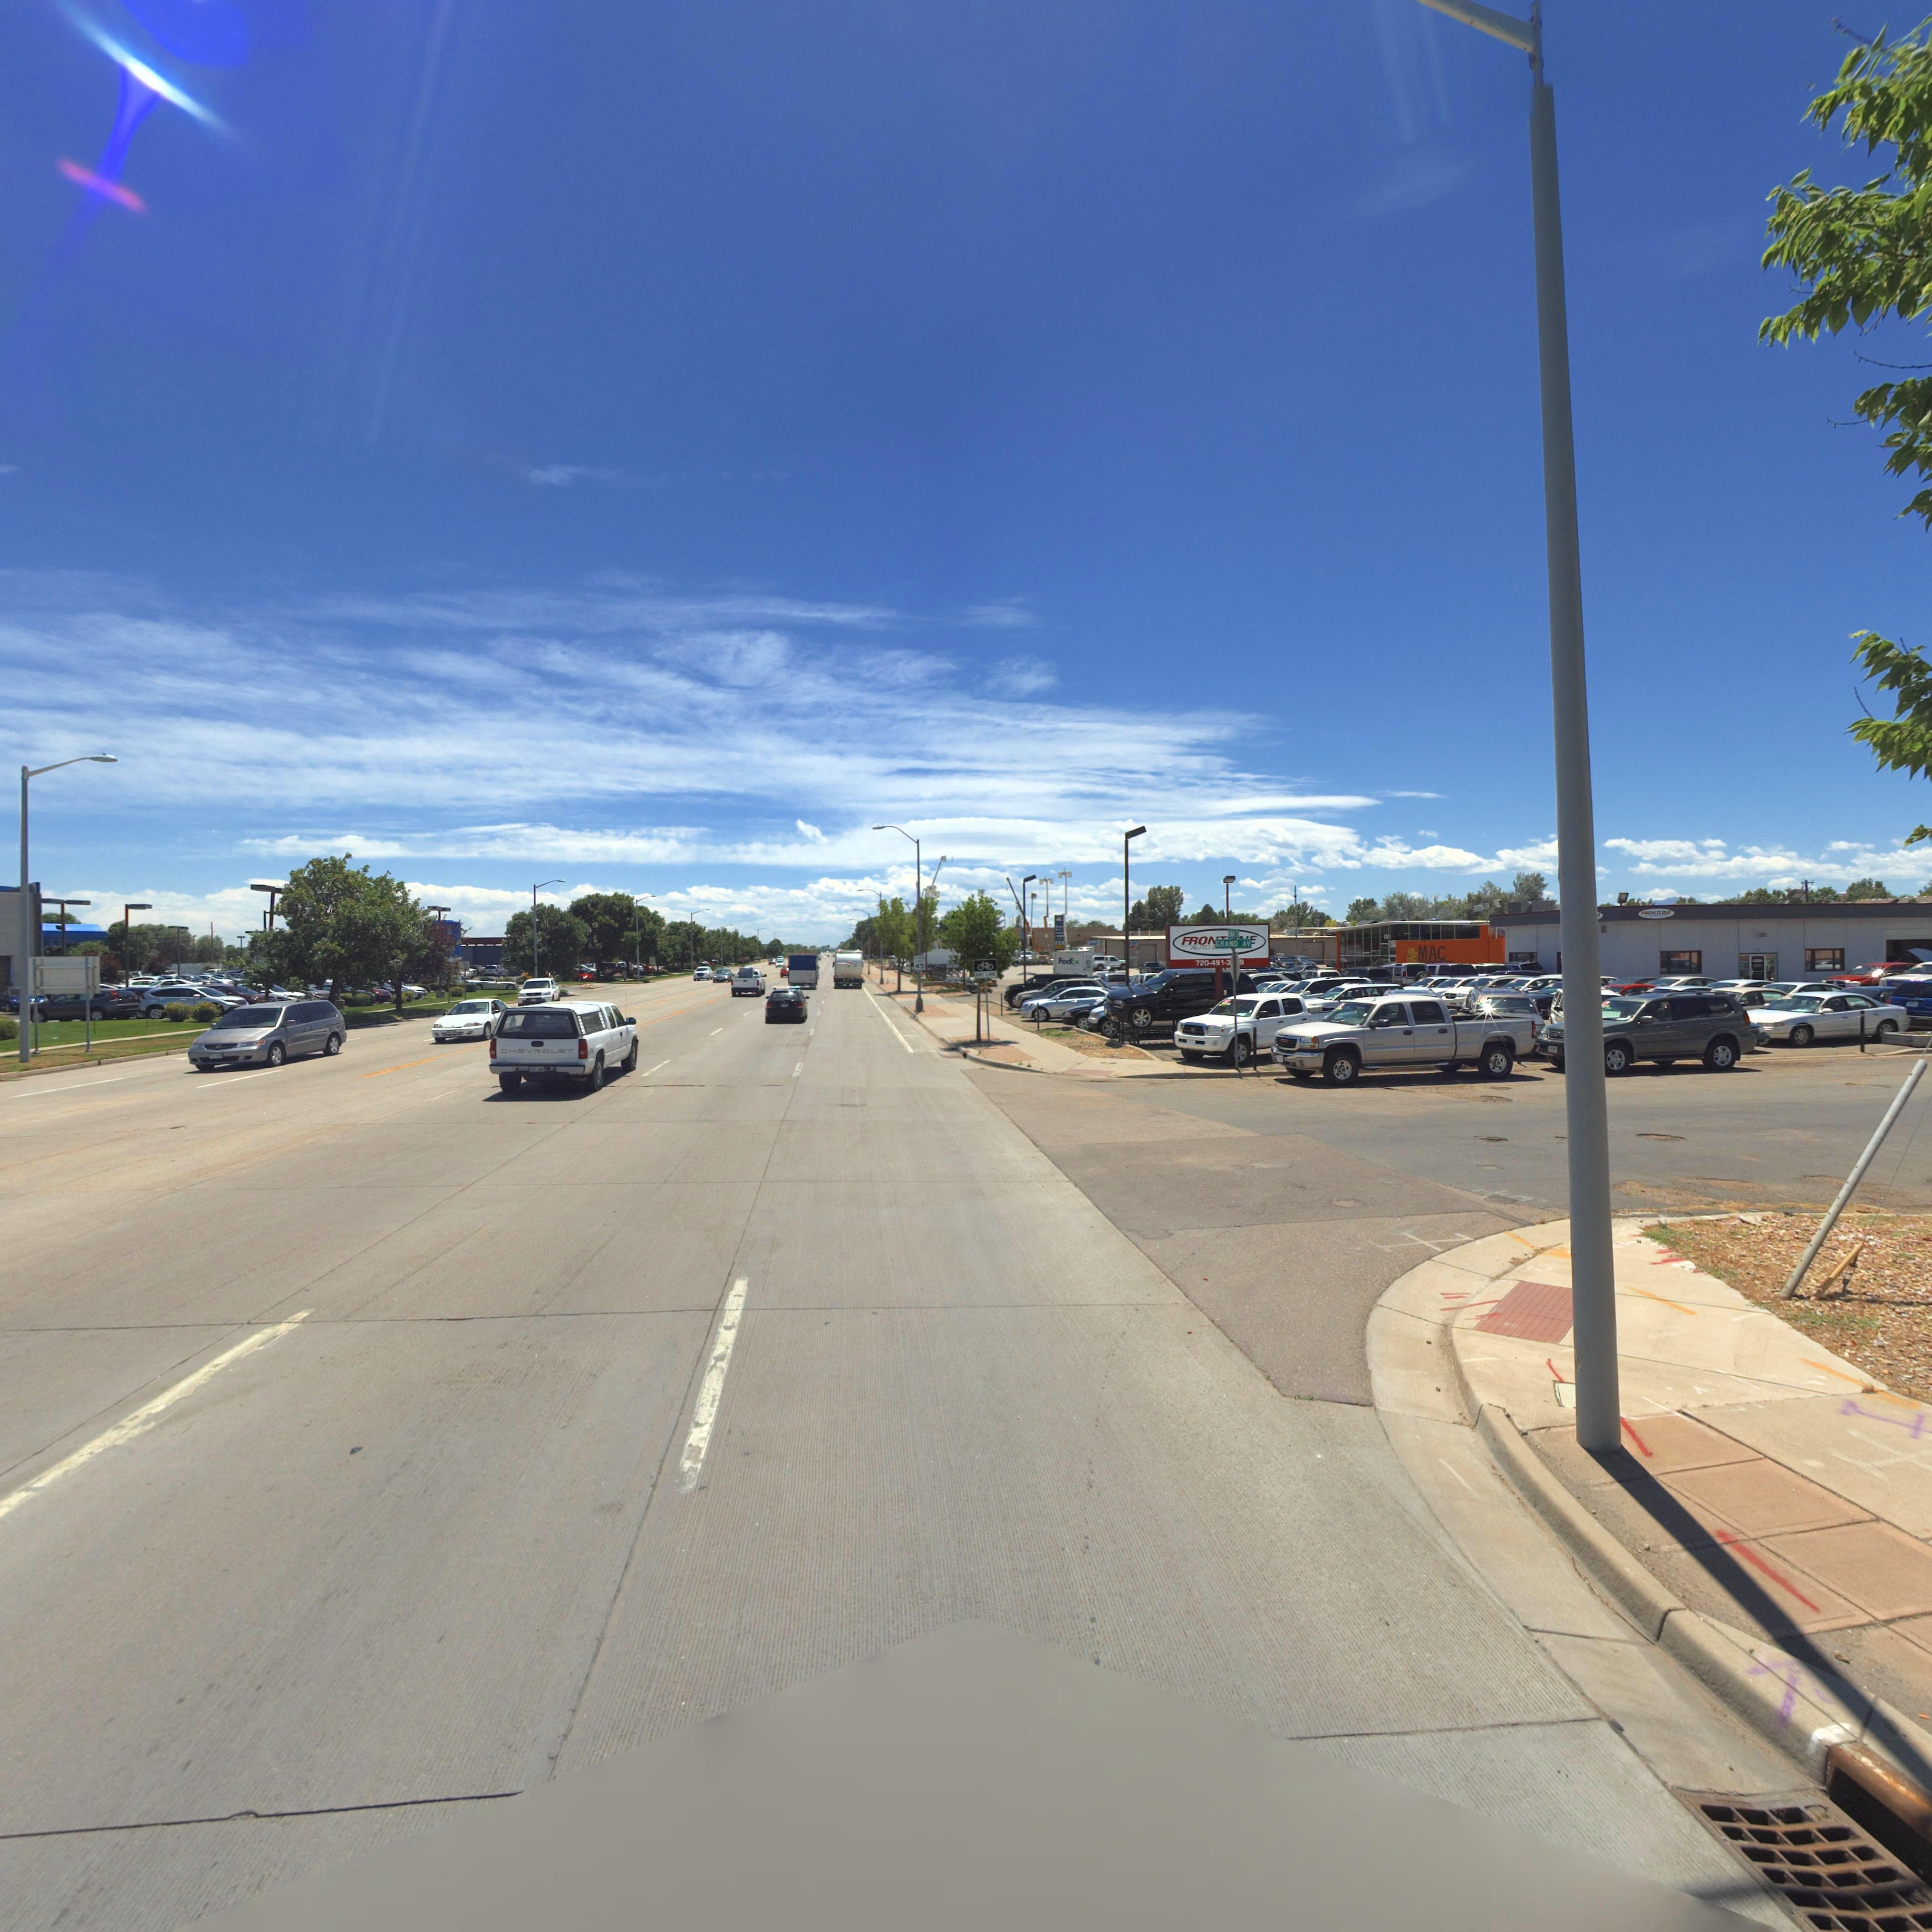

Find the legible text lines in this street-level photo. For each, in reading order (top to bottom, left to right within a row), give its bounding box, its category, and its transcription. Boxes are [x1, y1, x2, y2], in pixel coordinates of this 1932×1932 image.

[1640, 910, 1671, 915] BusinessName: FRONTL***
[1189, 944, 1217, 949] BusinessName: AUTO
[1180, 935, 1258, 945] BusinessName: FRON****E
[1215, 940, 1251, 947] BusinessName: GRAND AV
[1418, 945, 1446, 960] BusinessName: MAC